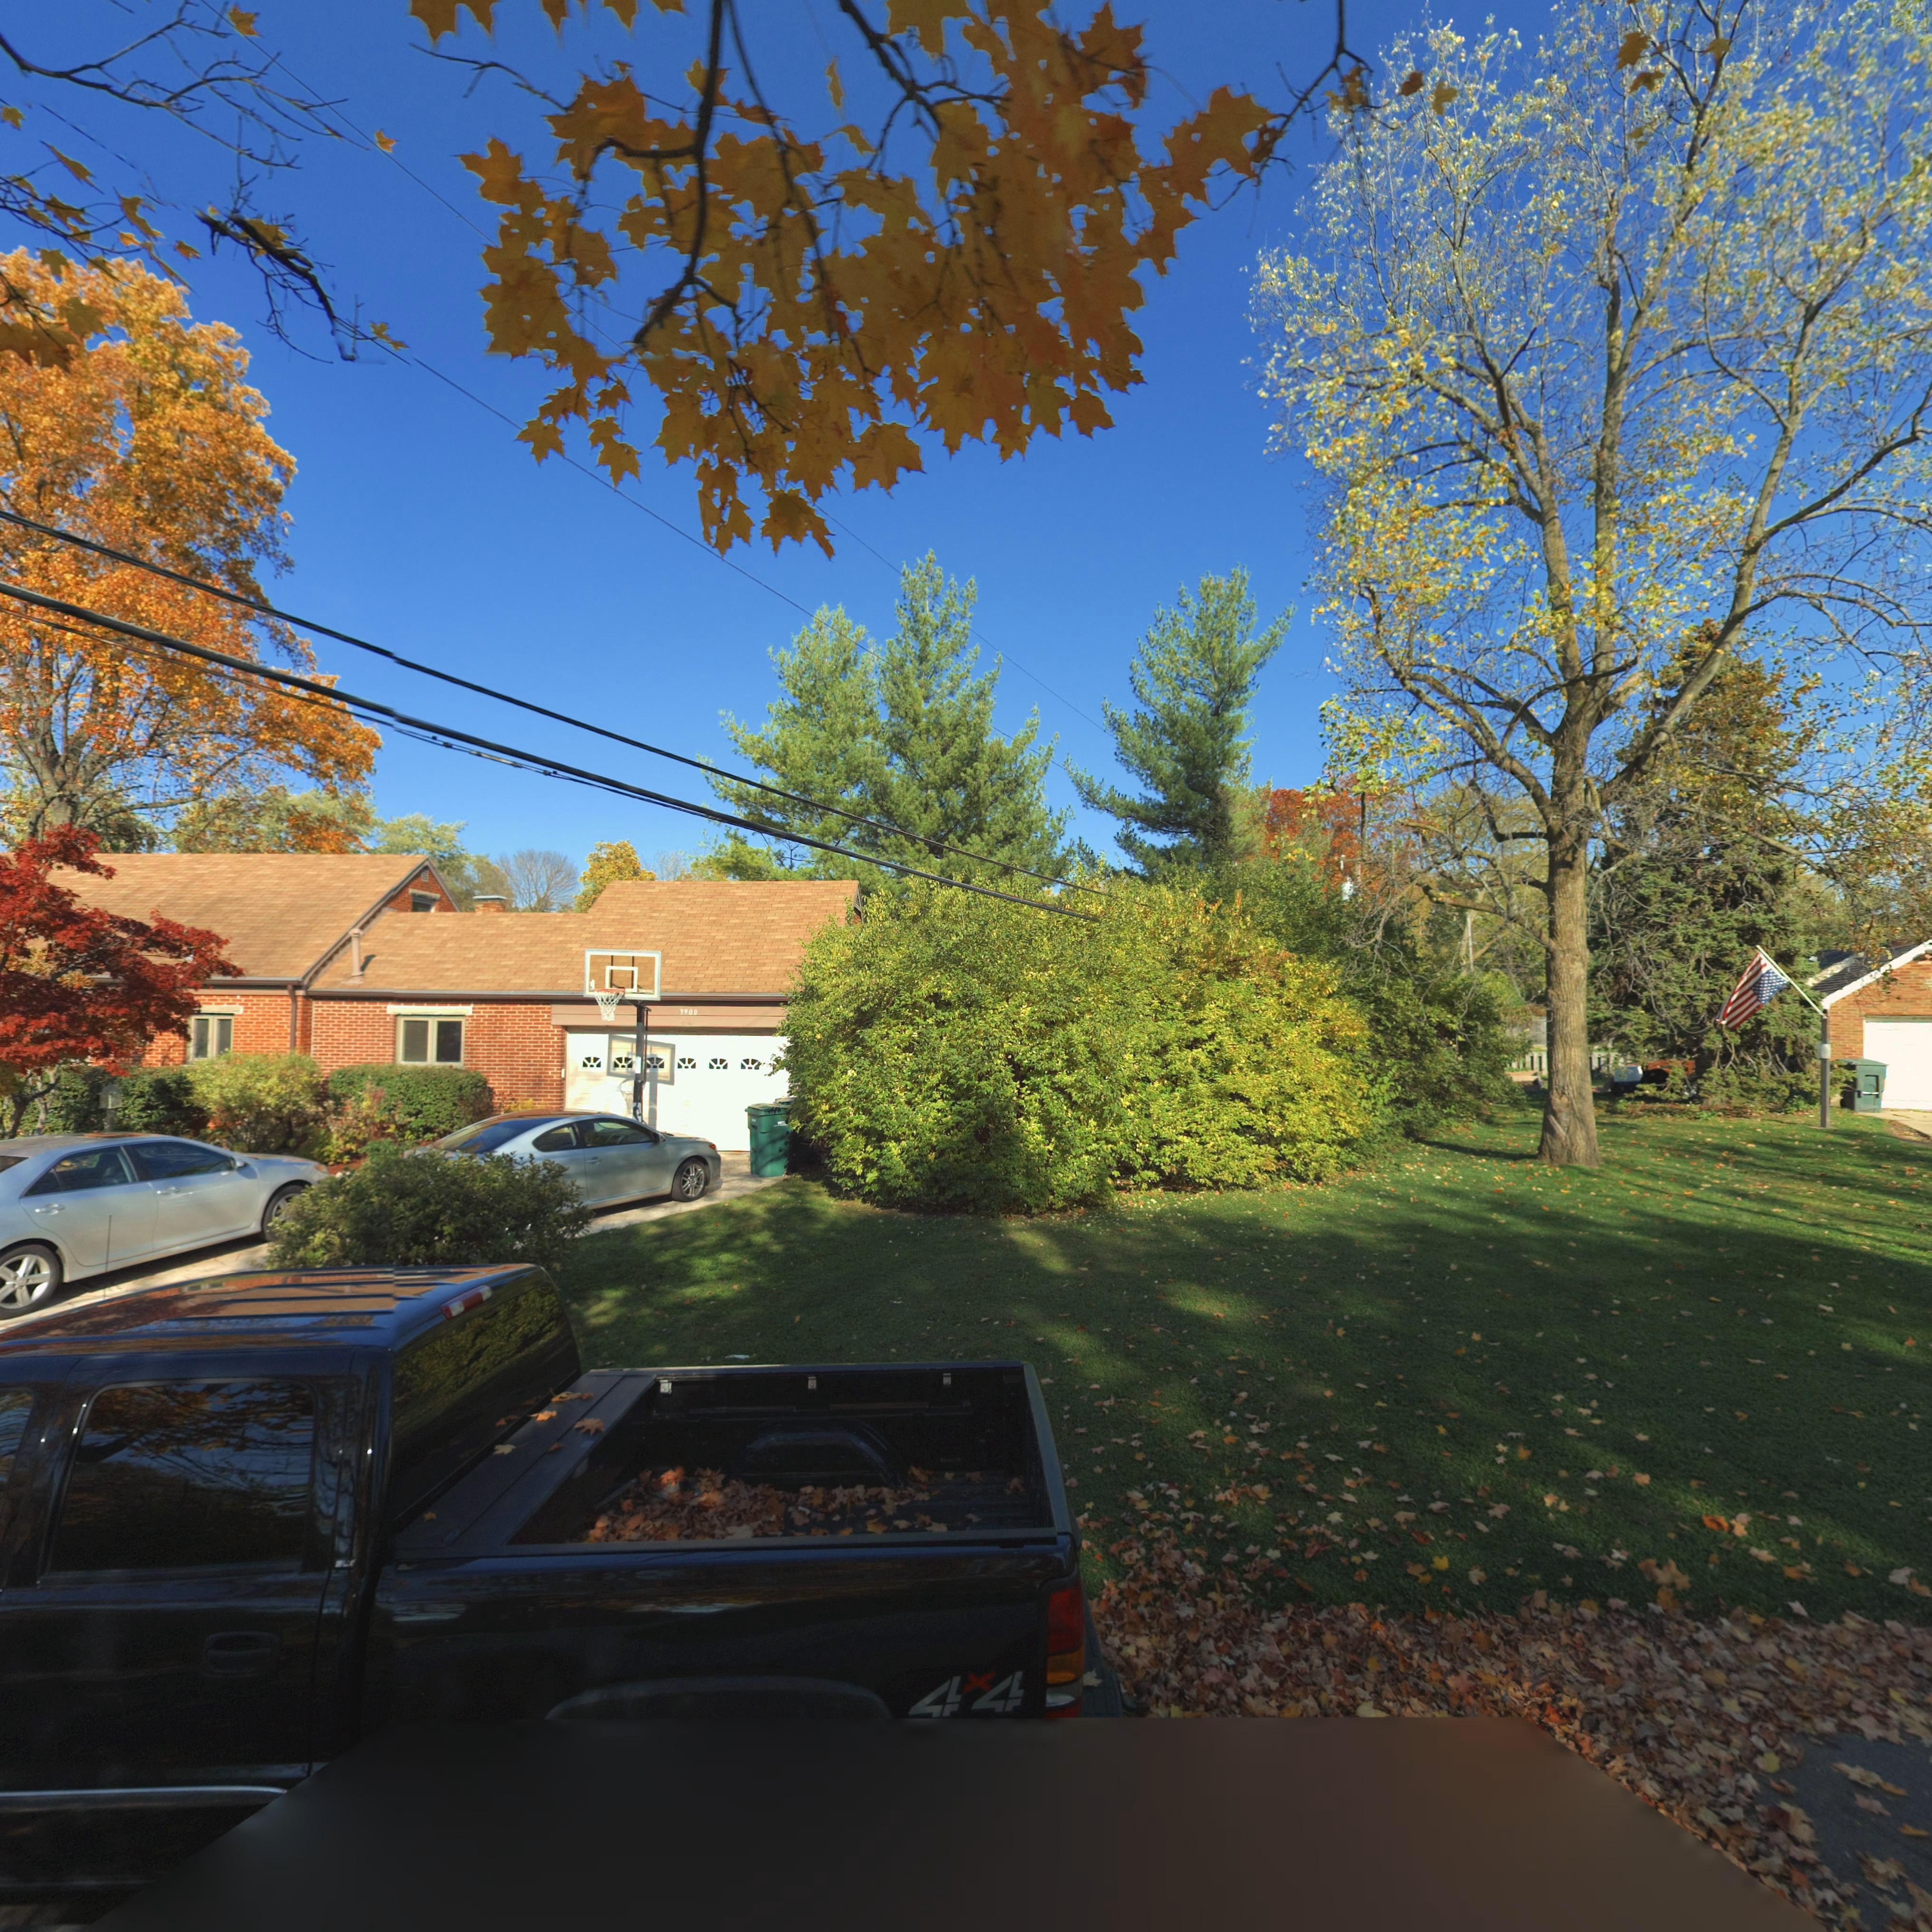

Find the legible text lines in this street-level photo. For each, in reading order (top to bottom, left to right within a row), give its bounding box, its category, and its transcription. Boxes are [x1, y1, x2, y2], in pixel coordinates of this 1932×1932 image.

[679, 1008, 698, 1016] StreetNumber: 3900
[905, 1670, 1025, 1719] None: \